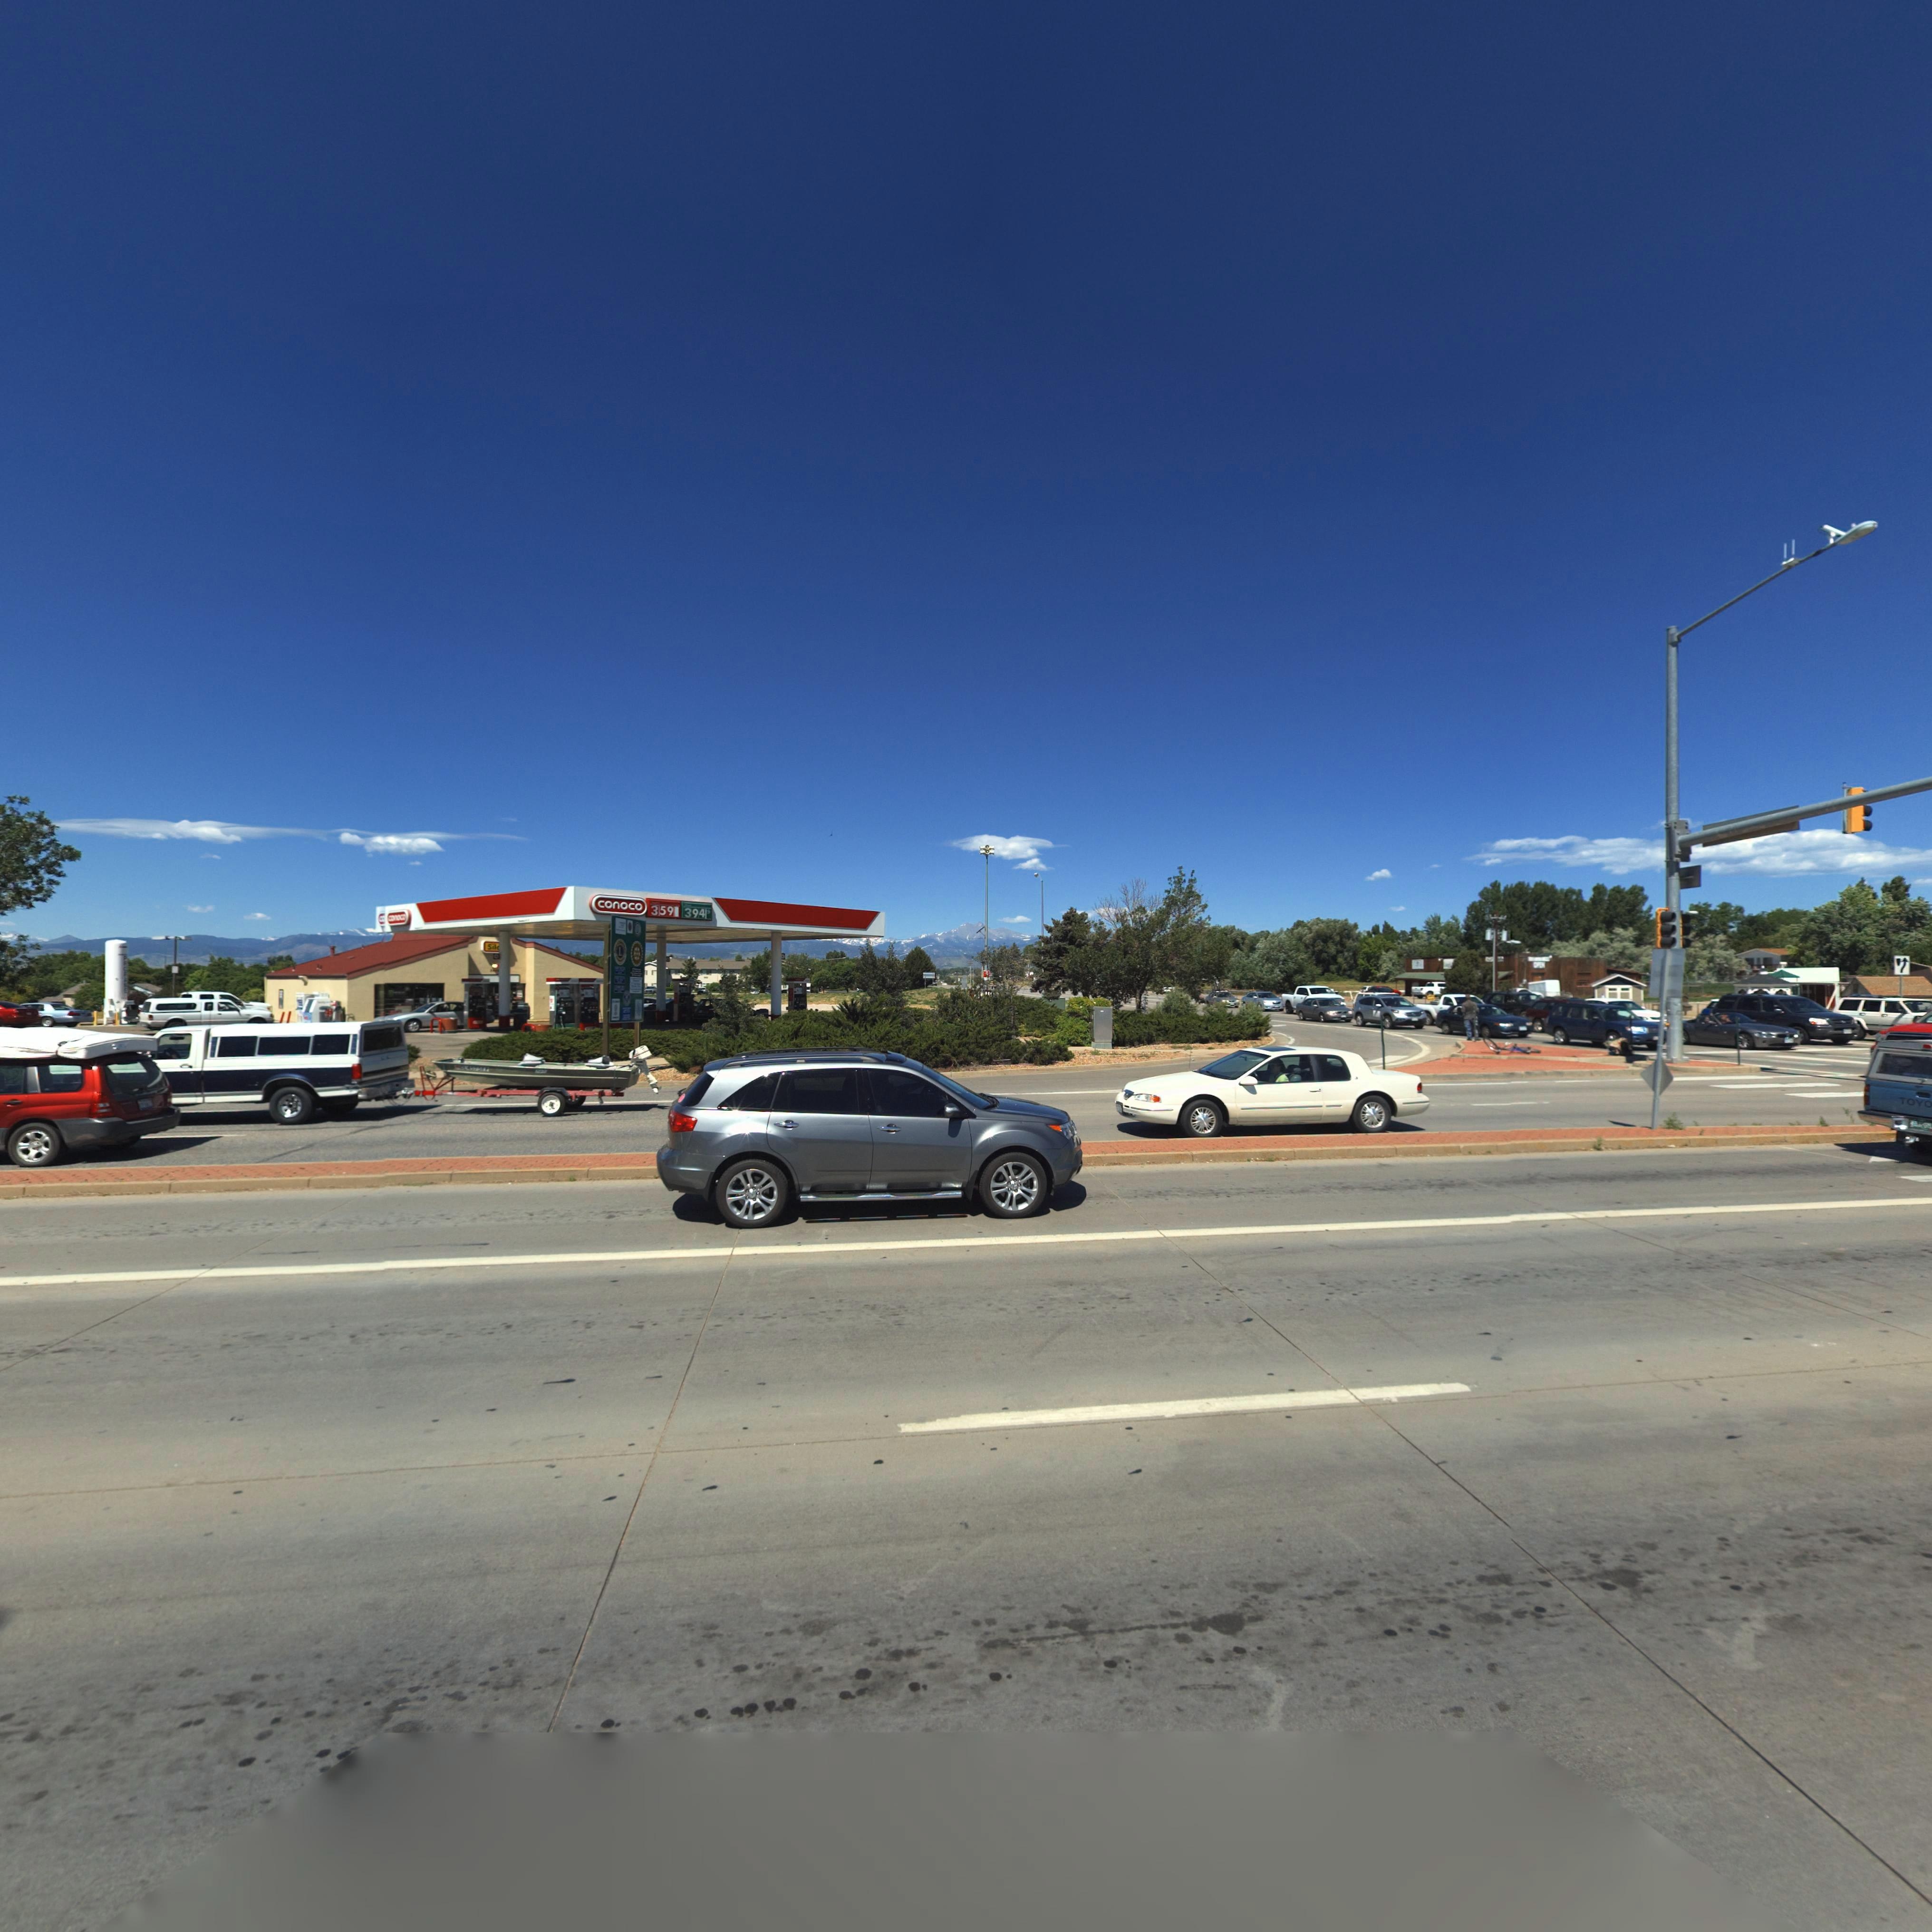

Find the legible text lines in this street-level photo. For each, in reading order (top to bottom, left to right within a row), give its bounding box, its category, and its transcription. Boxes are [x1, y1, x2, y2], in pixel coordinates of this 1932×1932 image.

[598, 900, 643, 911] BusinessName: conoco
[378, 913, 406, 922] BusinessName: co conoco
[487, 943, 499, 950] BusinessName: Sil*